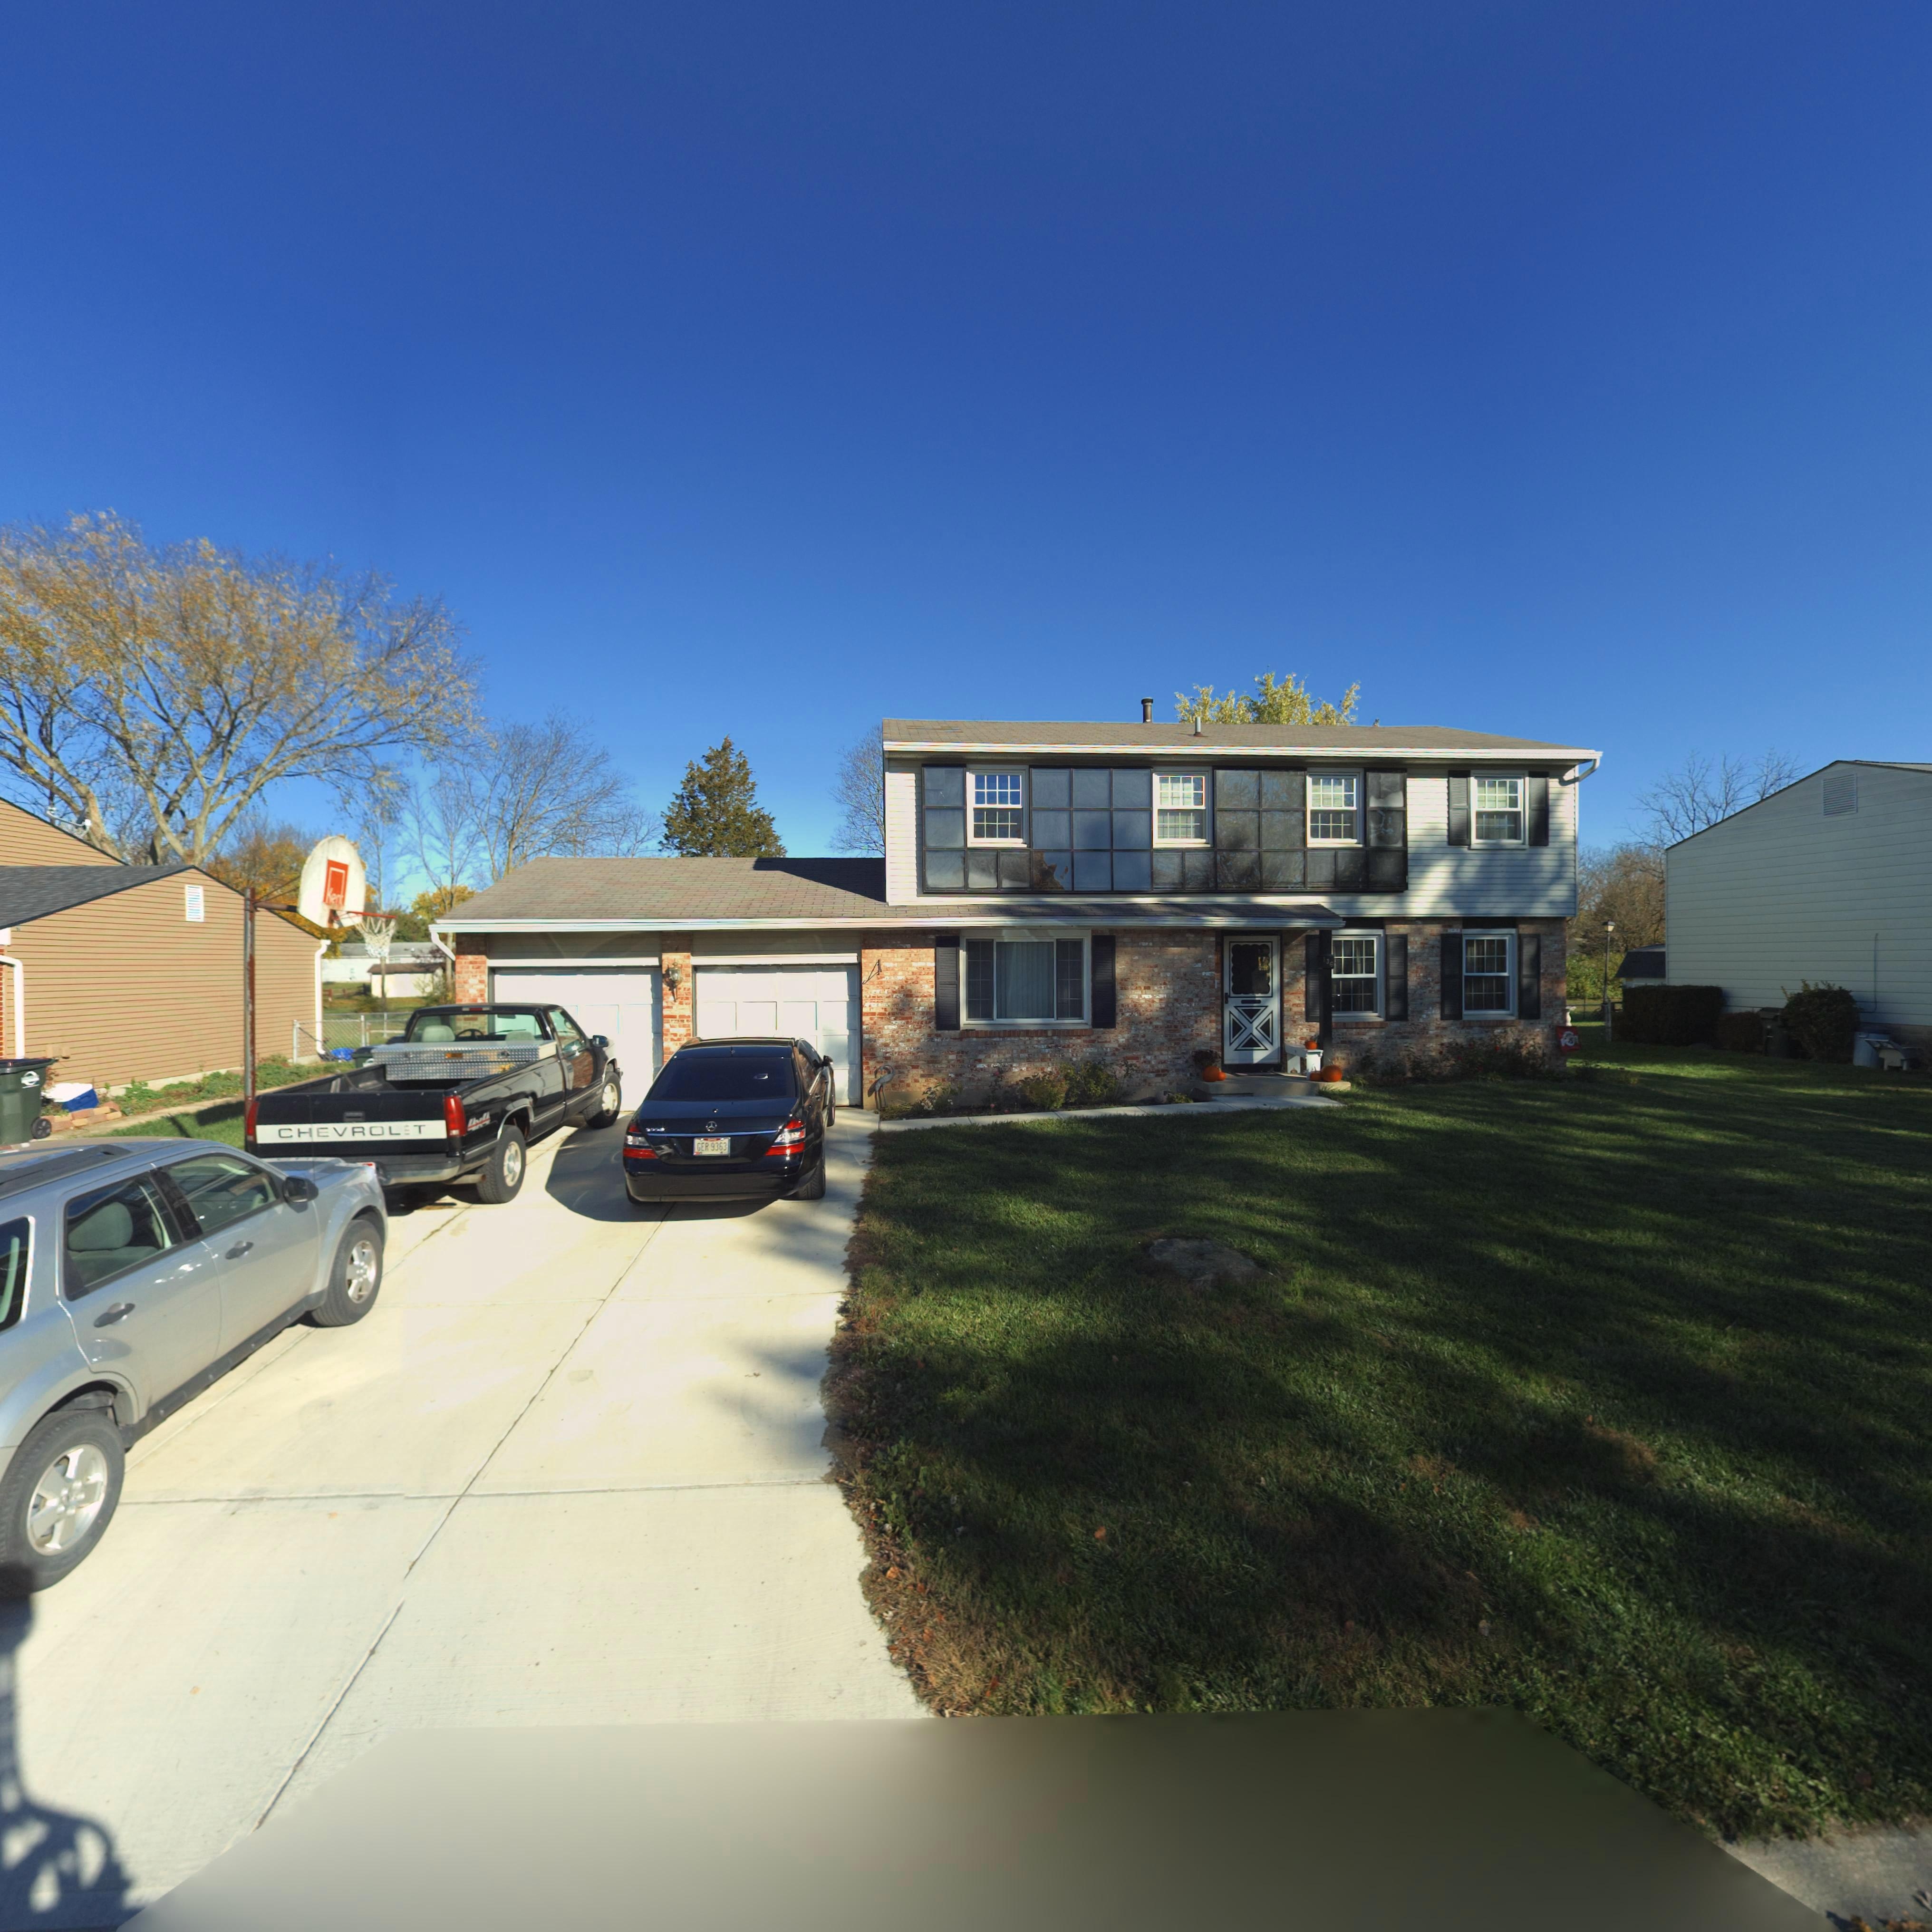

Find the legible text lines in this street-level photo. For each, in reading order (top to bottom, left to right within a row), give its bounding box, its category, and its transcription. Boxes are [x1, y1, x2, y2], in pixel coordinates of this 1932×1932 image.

[1323, 956, 1334, 968] StreetNumber: 136